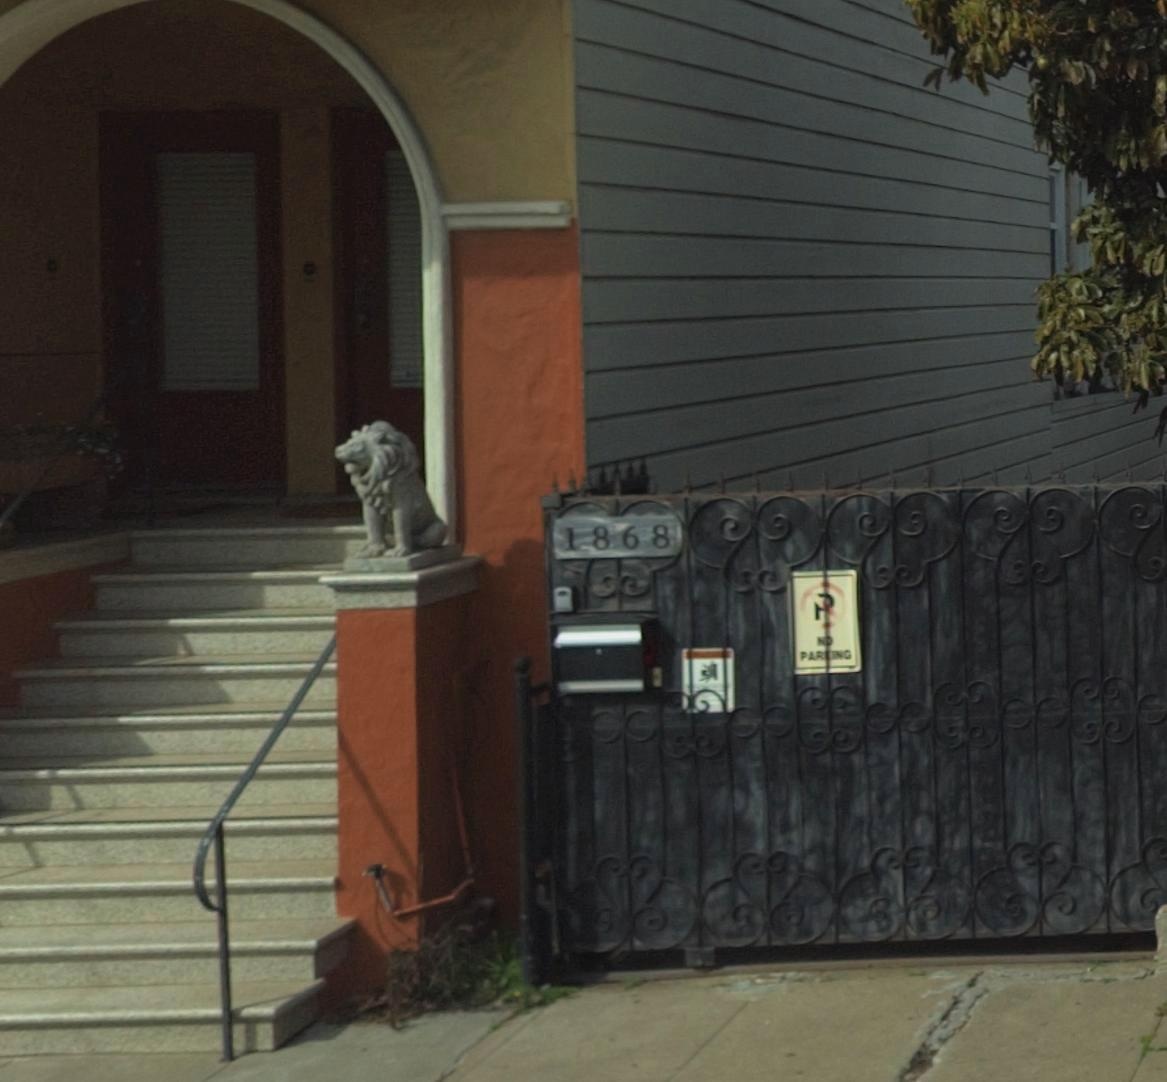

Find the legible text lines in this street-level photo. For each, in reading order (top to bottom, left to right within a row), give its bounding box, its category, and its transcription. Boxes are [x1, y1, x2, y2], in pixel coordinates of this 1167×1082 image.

[563, 521, 673, 554] StreetNumber: 1868
[798, 645, 855, 666] None: PAR***G